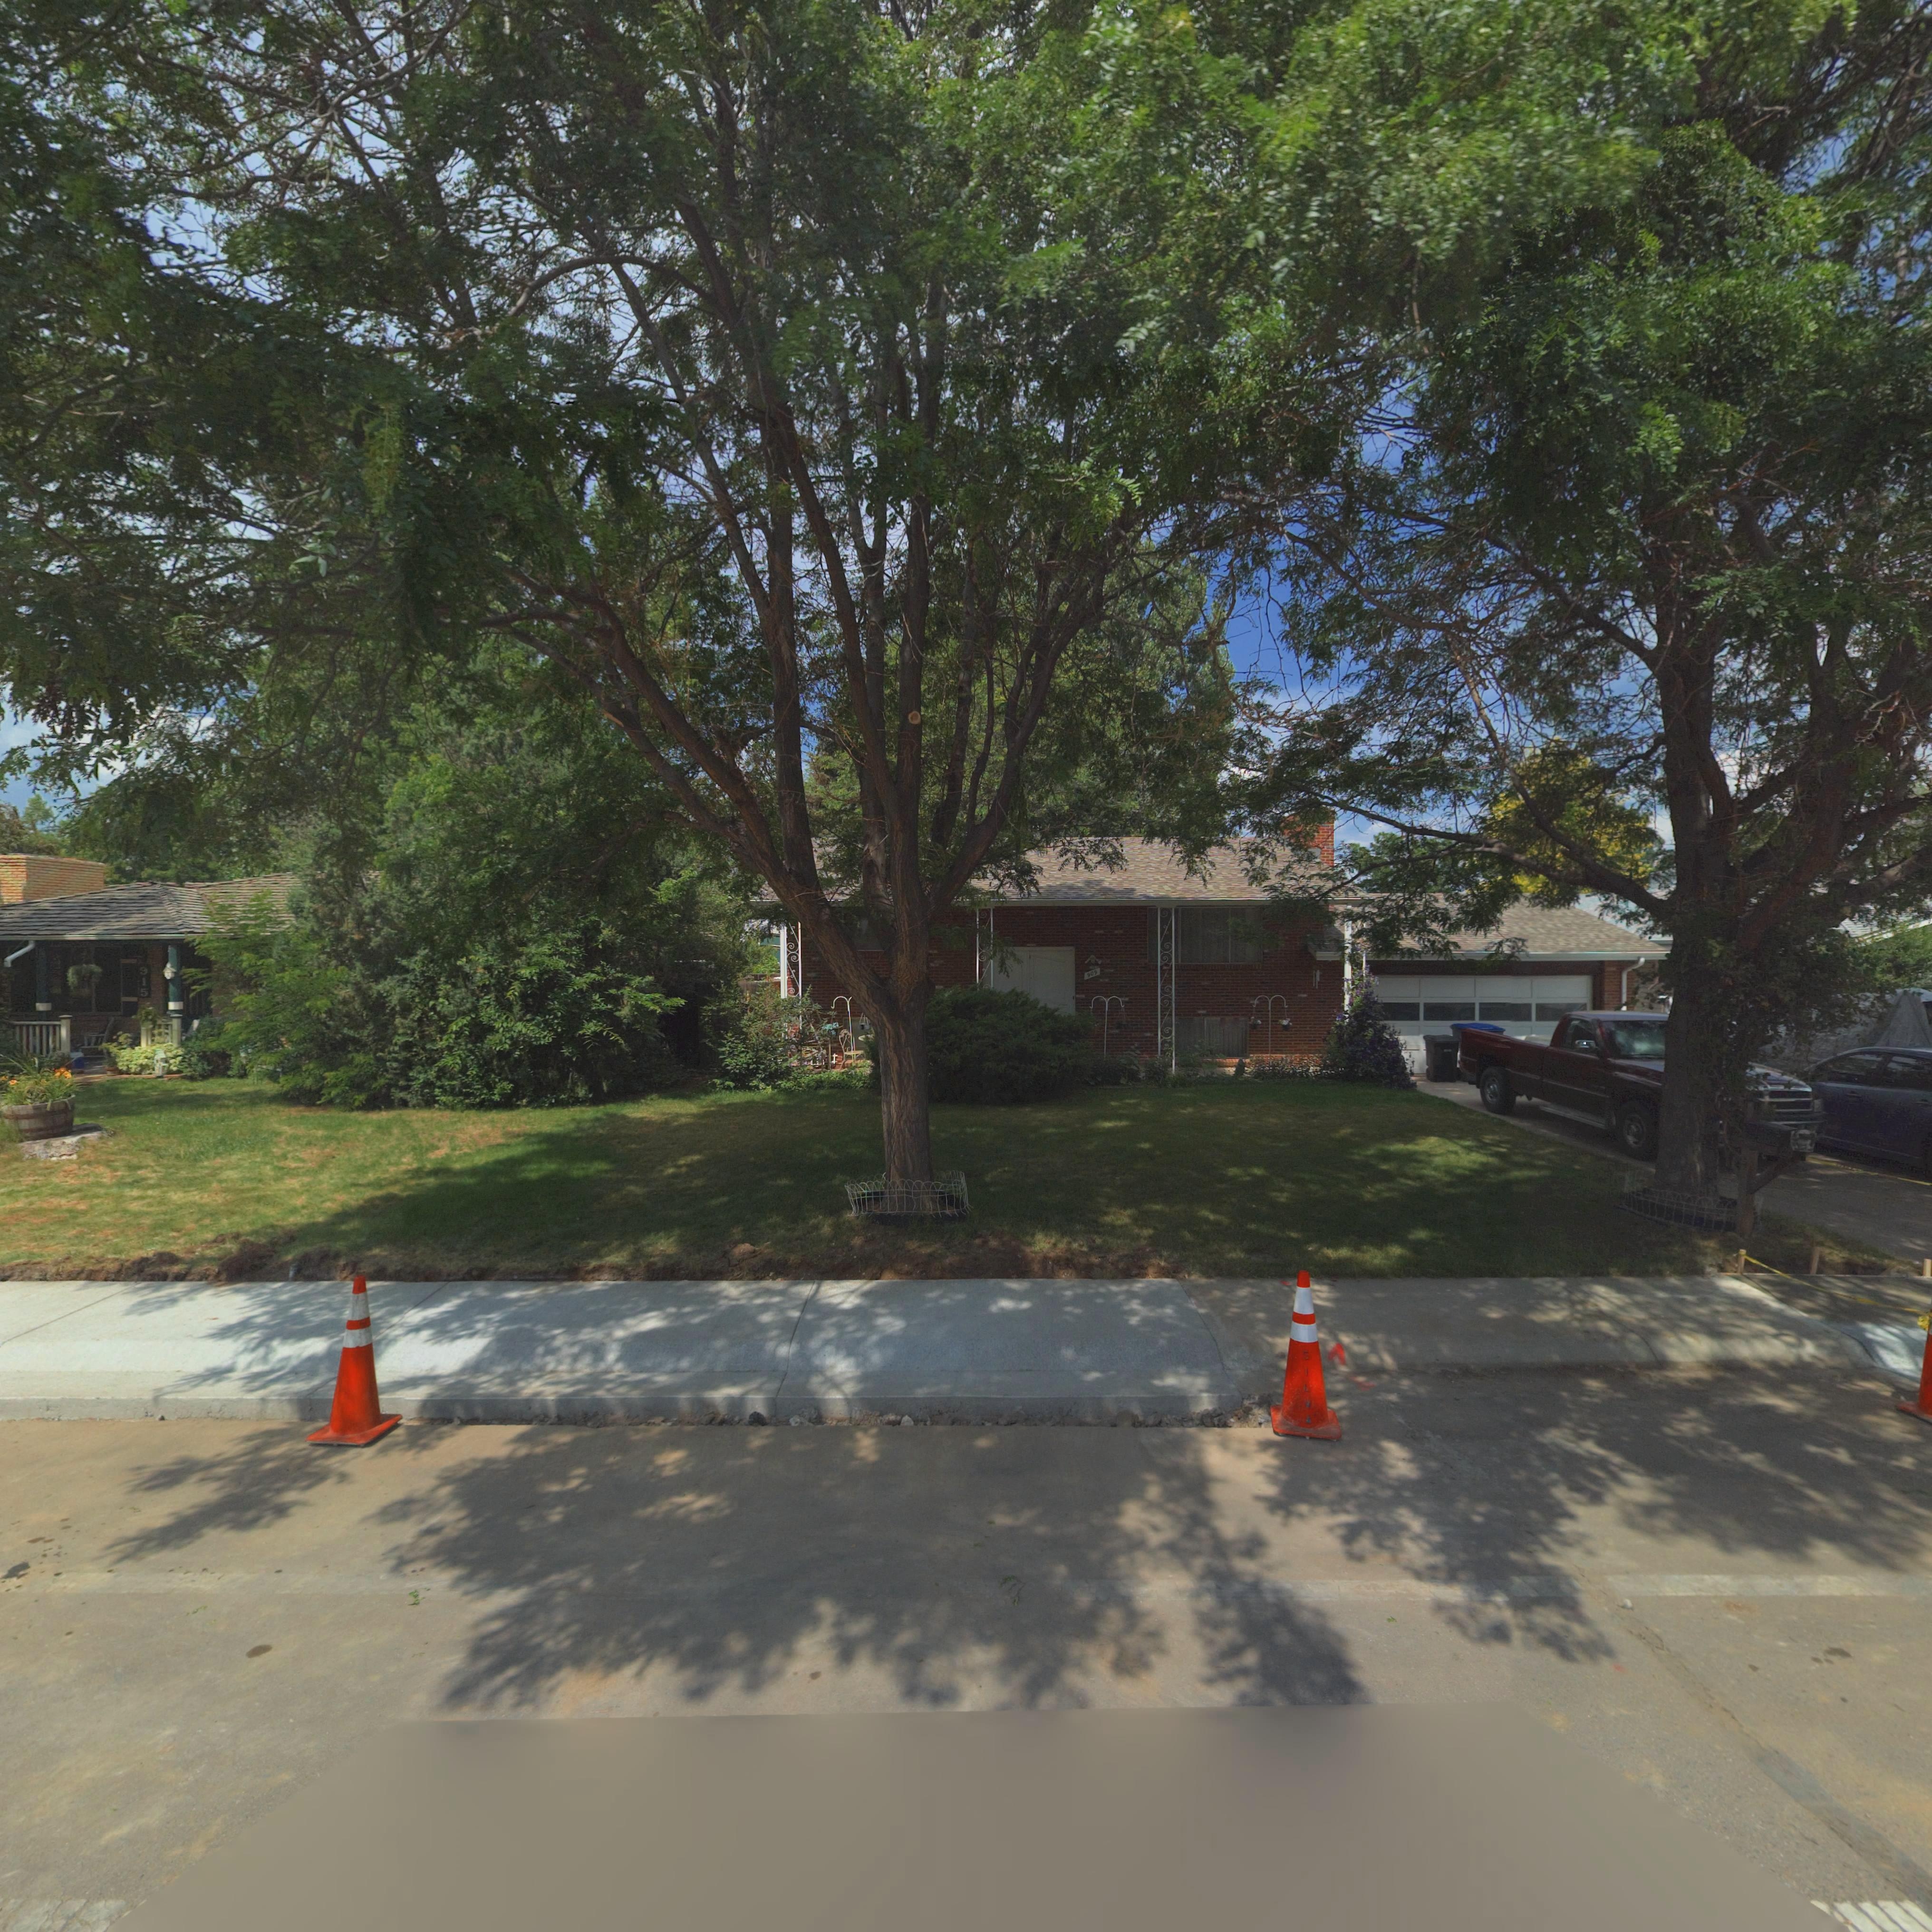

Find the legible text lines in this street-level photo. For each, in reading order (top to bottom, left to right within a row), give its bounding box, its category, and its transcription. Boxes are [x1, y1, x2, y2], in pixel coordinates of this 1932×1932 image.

[140, 966, 148, 997] StreetNumber: 915
[1087, 969, 1097, 977] StreetNumber: 909